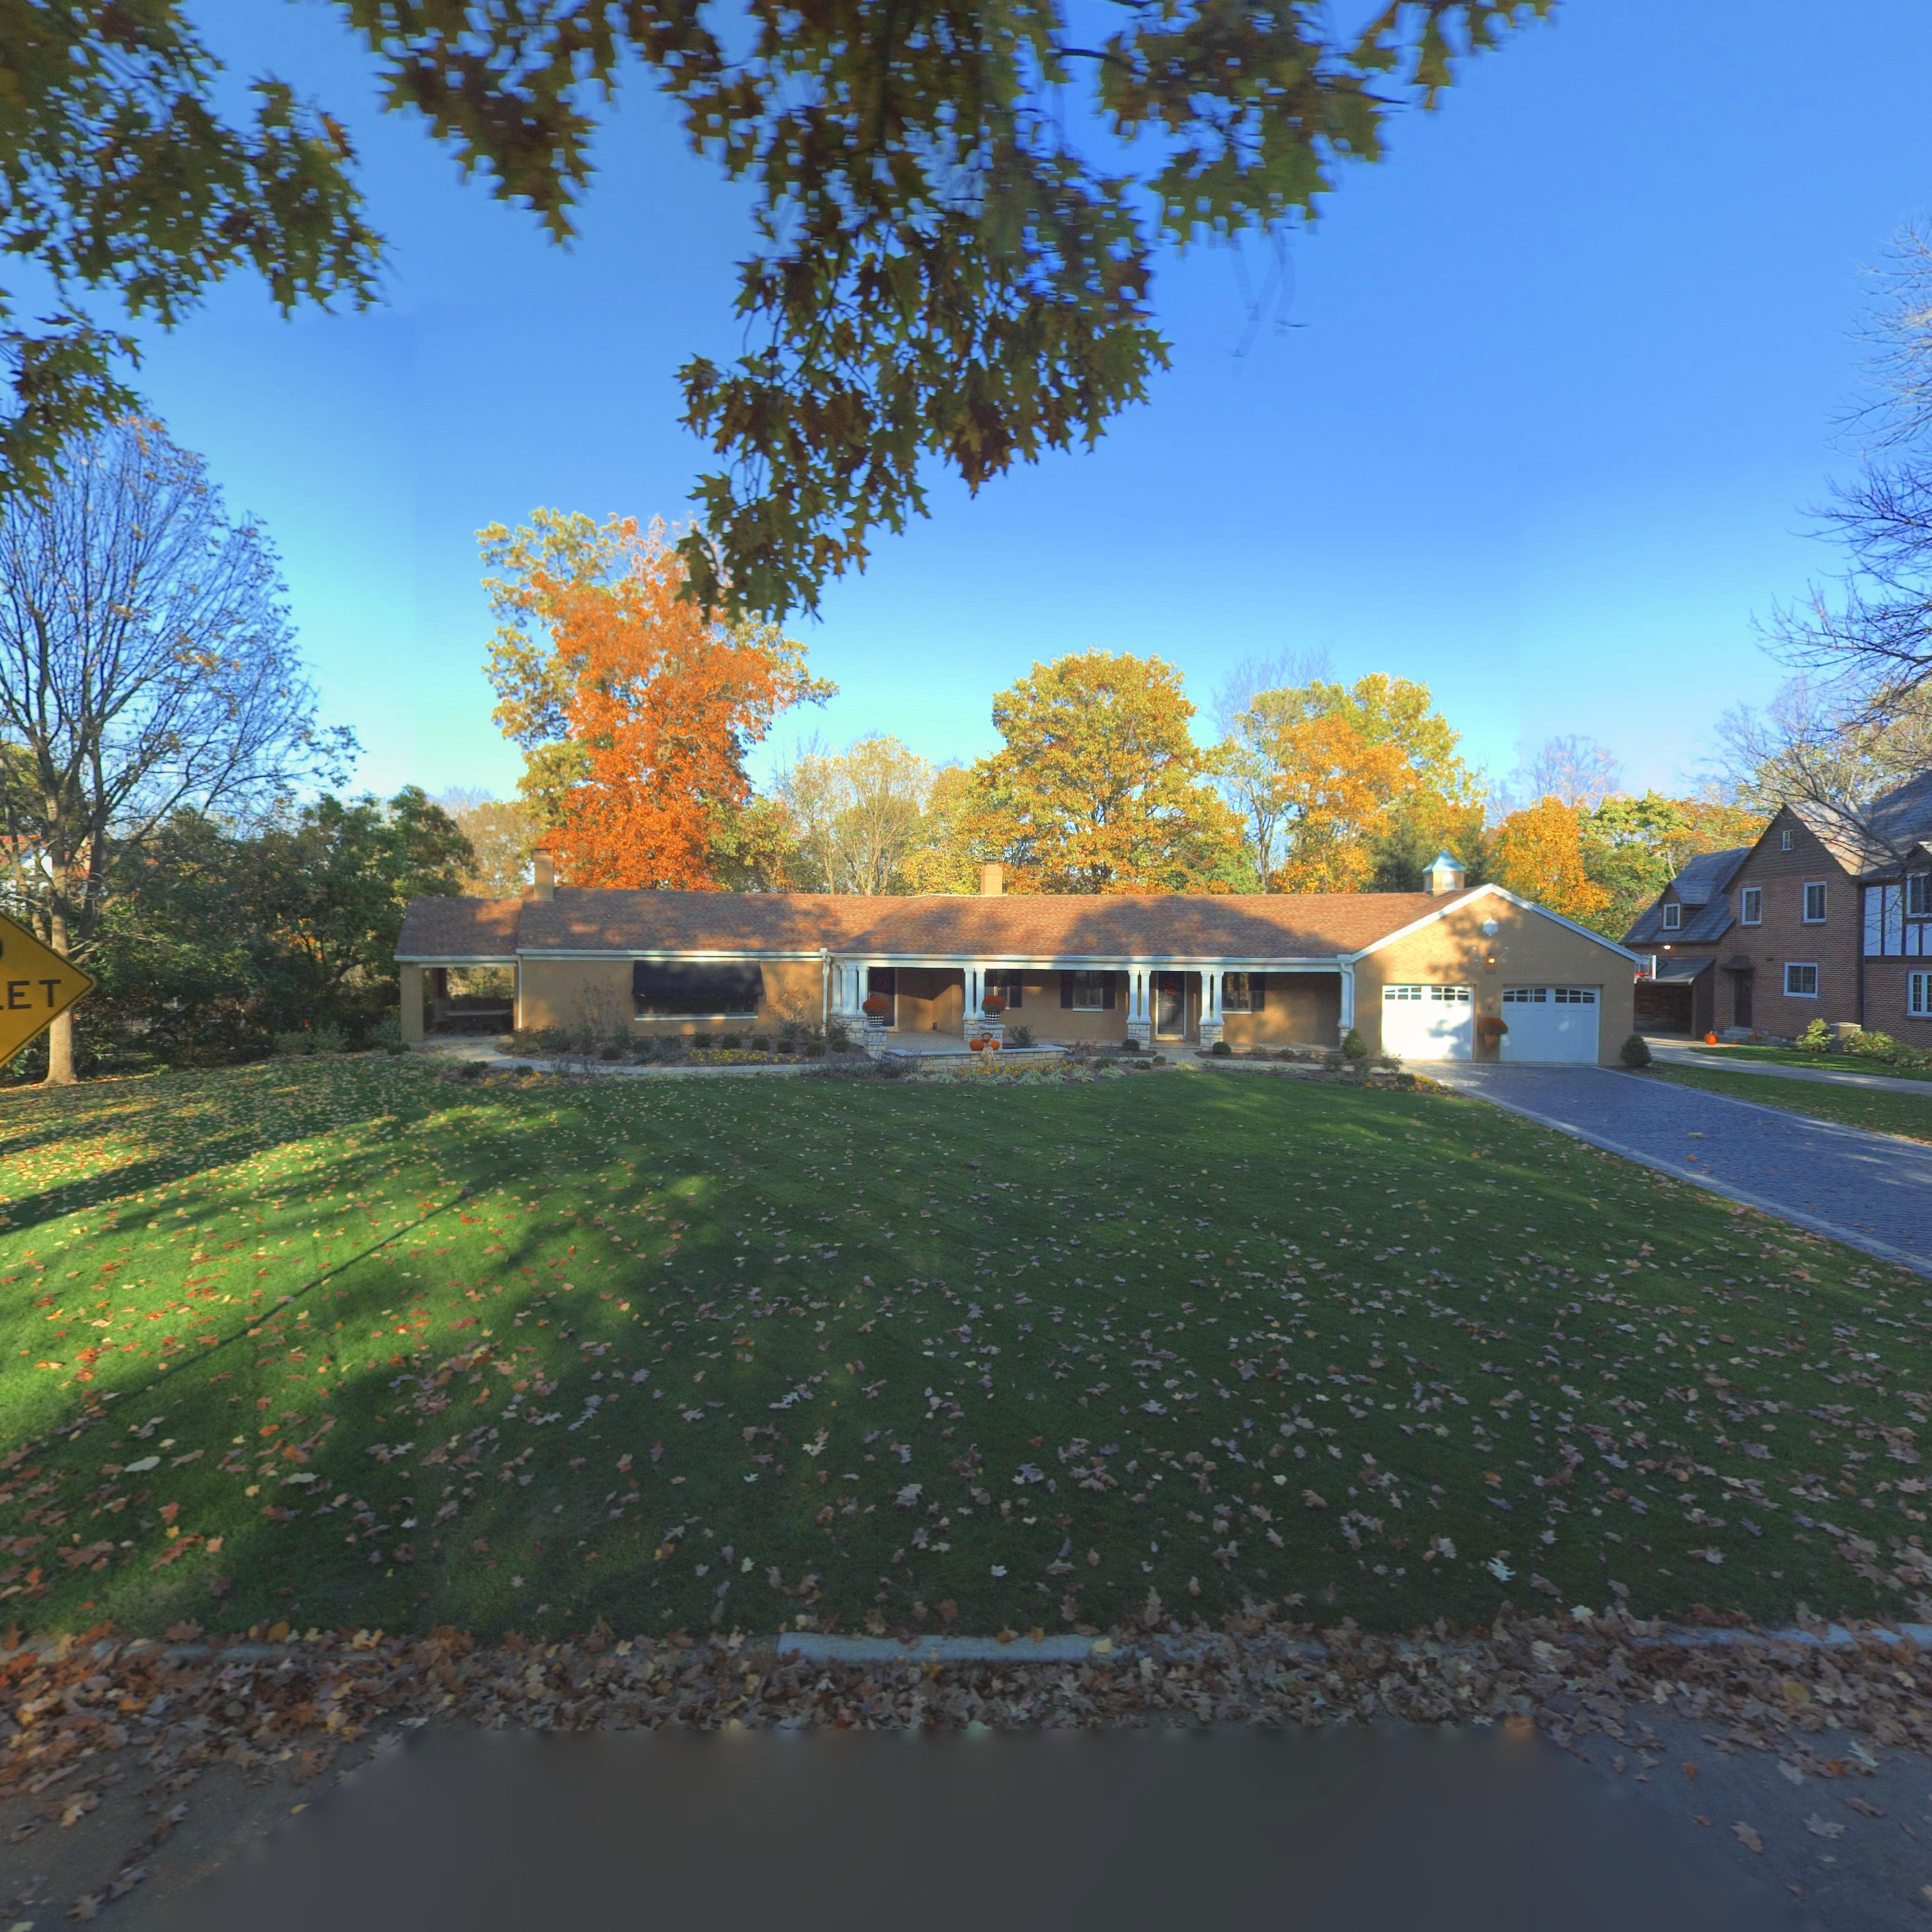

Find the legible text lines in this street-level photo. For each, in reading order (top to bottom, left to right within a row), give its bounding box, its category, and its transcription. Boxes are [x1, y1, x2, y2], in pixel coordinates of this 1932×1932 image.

[1484, 968, 1497, 976] StreetNumber: 3**